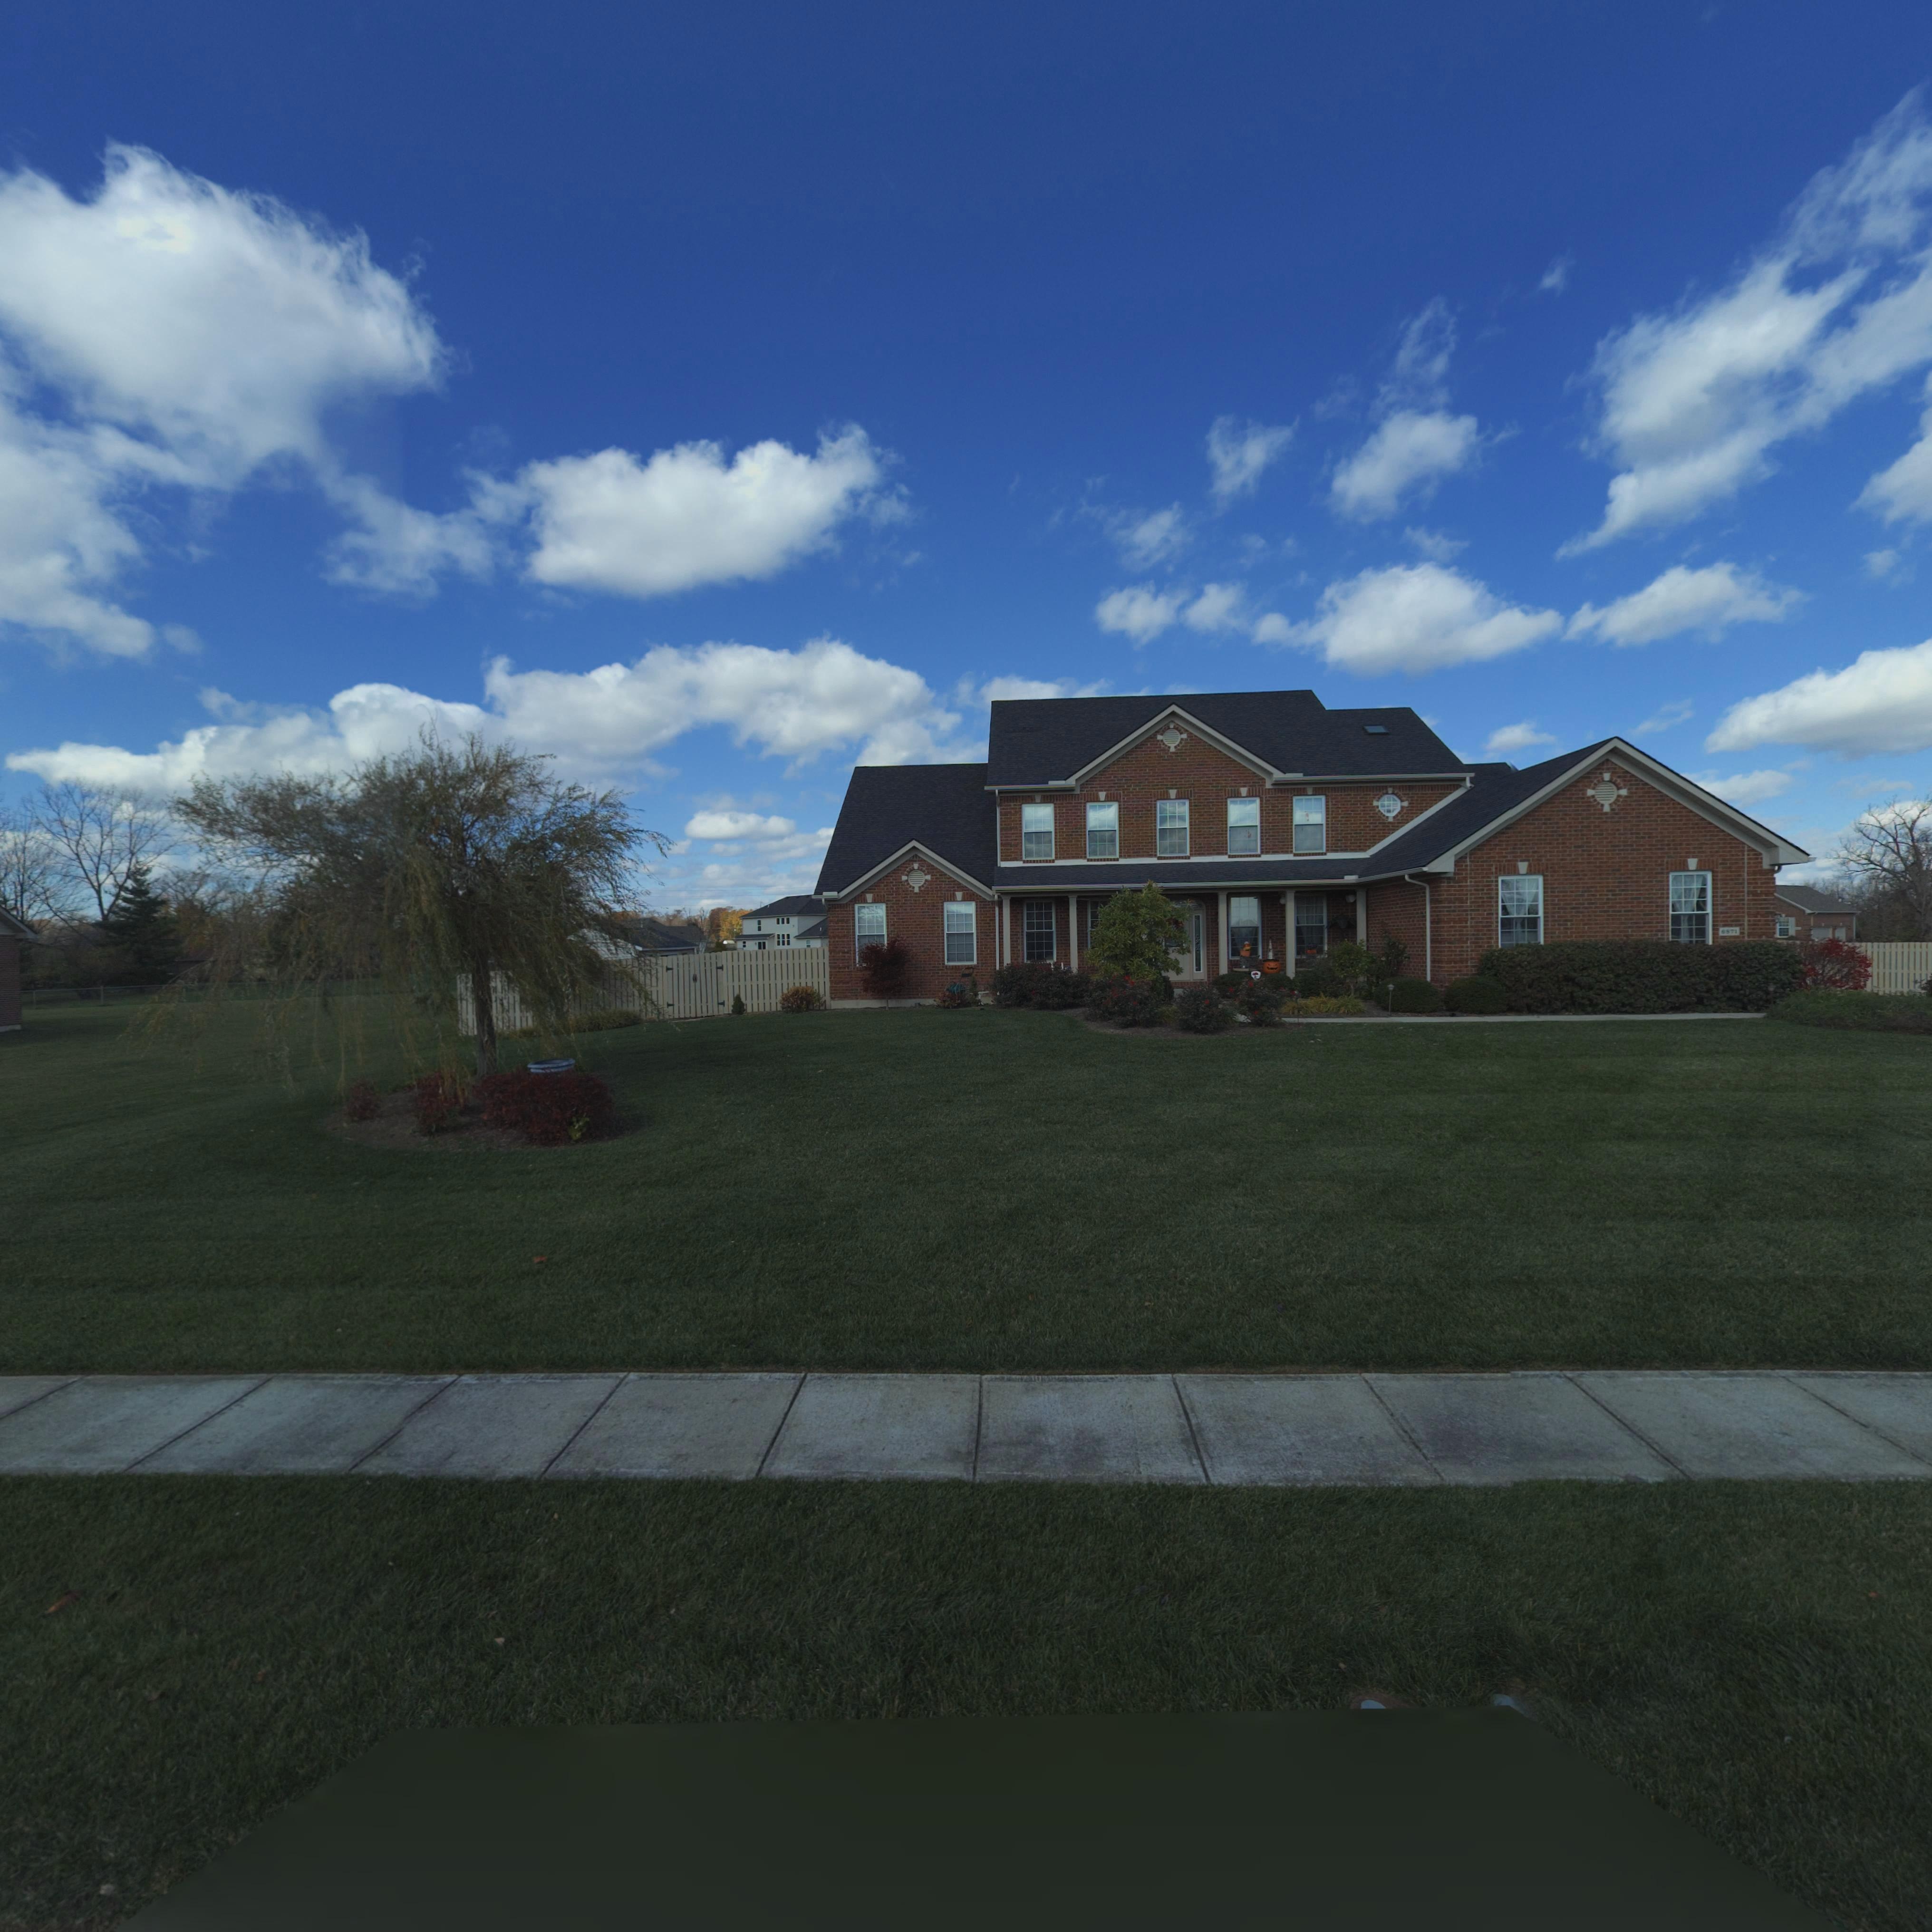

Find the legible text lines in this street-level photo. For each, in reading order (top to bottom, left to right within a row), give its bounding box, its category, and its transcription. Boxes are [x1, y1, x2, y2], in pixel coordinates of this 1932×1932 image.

[1720, 929, 1738, 935] StreetNumber: **71